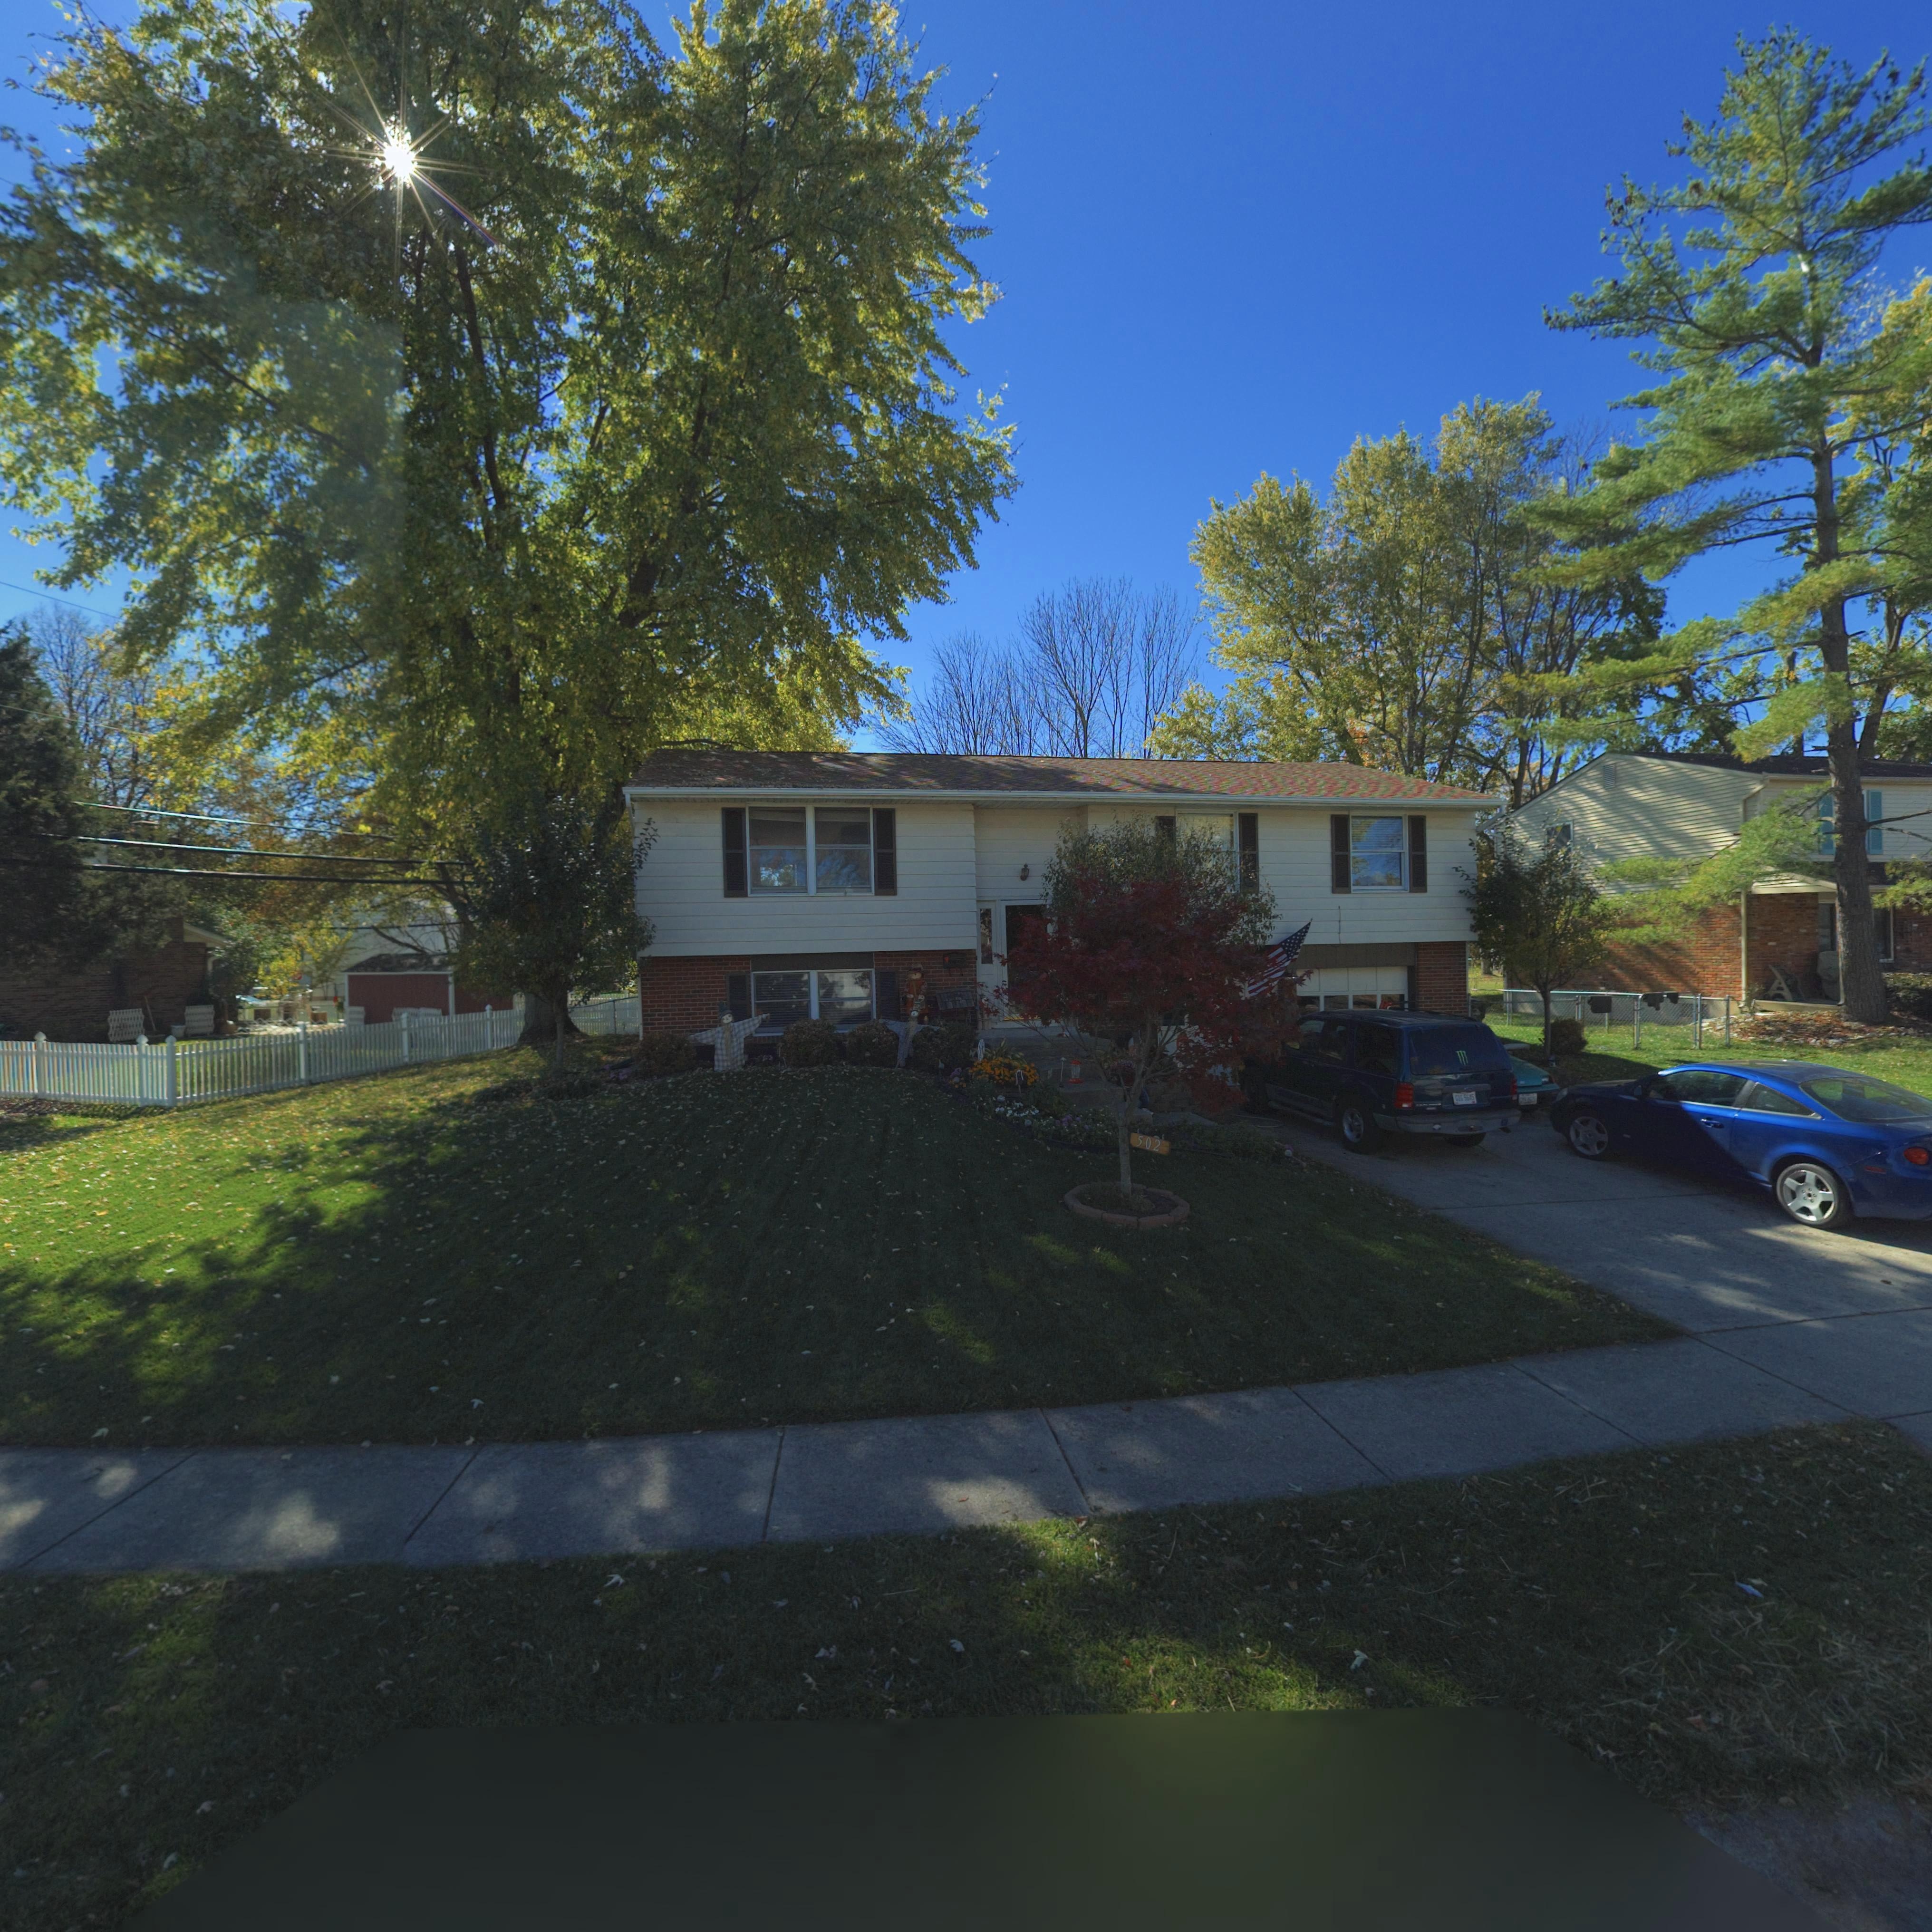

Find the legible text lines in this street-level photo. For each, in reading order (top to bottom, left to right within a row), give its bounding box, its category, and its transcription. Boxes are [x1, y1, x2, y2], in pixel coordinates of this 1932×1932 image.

[1136, 1134, 1162, 1153] StreetNumber: 502